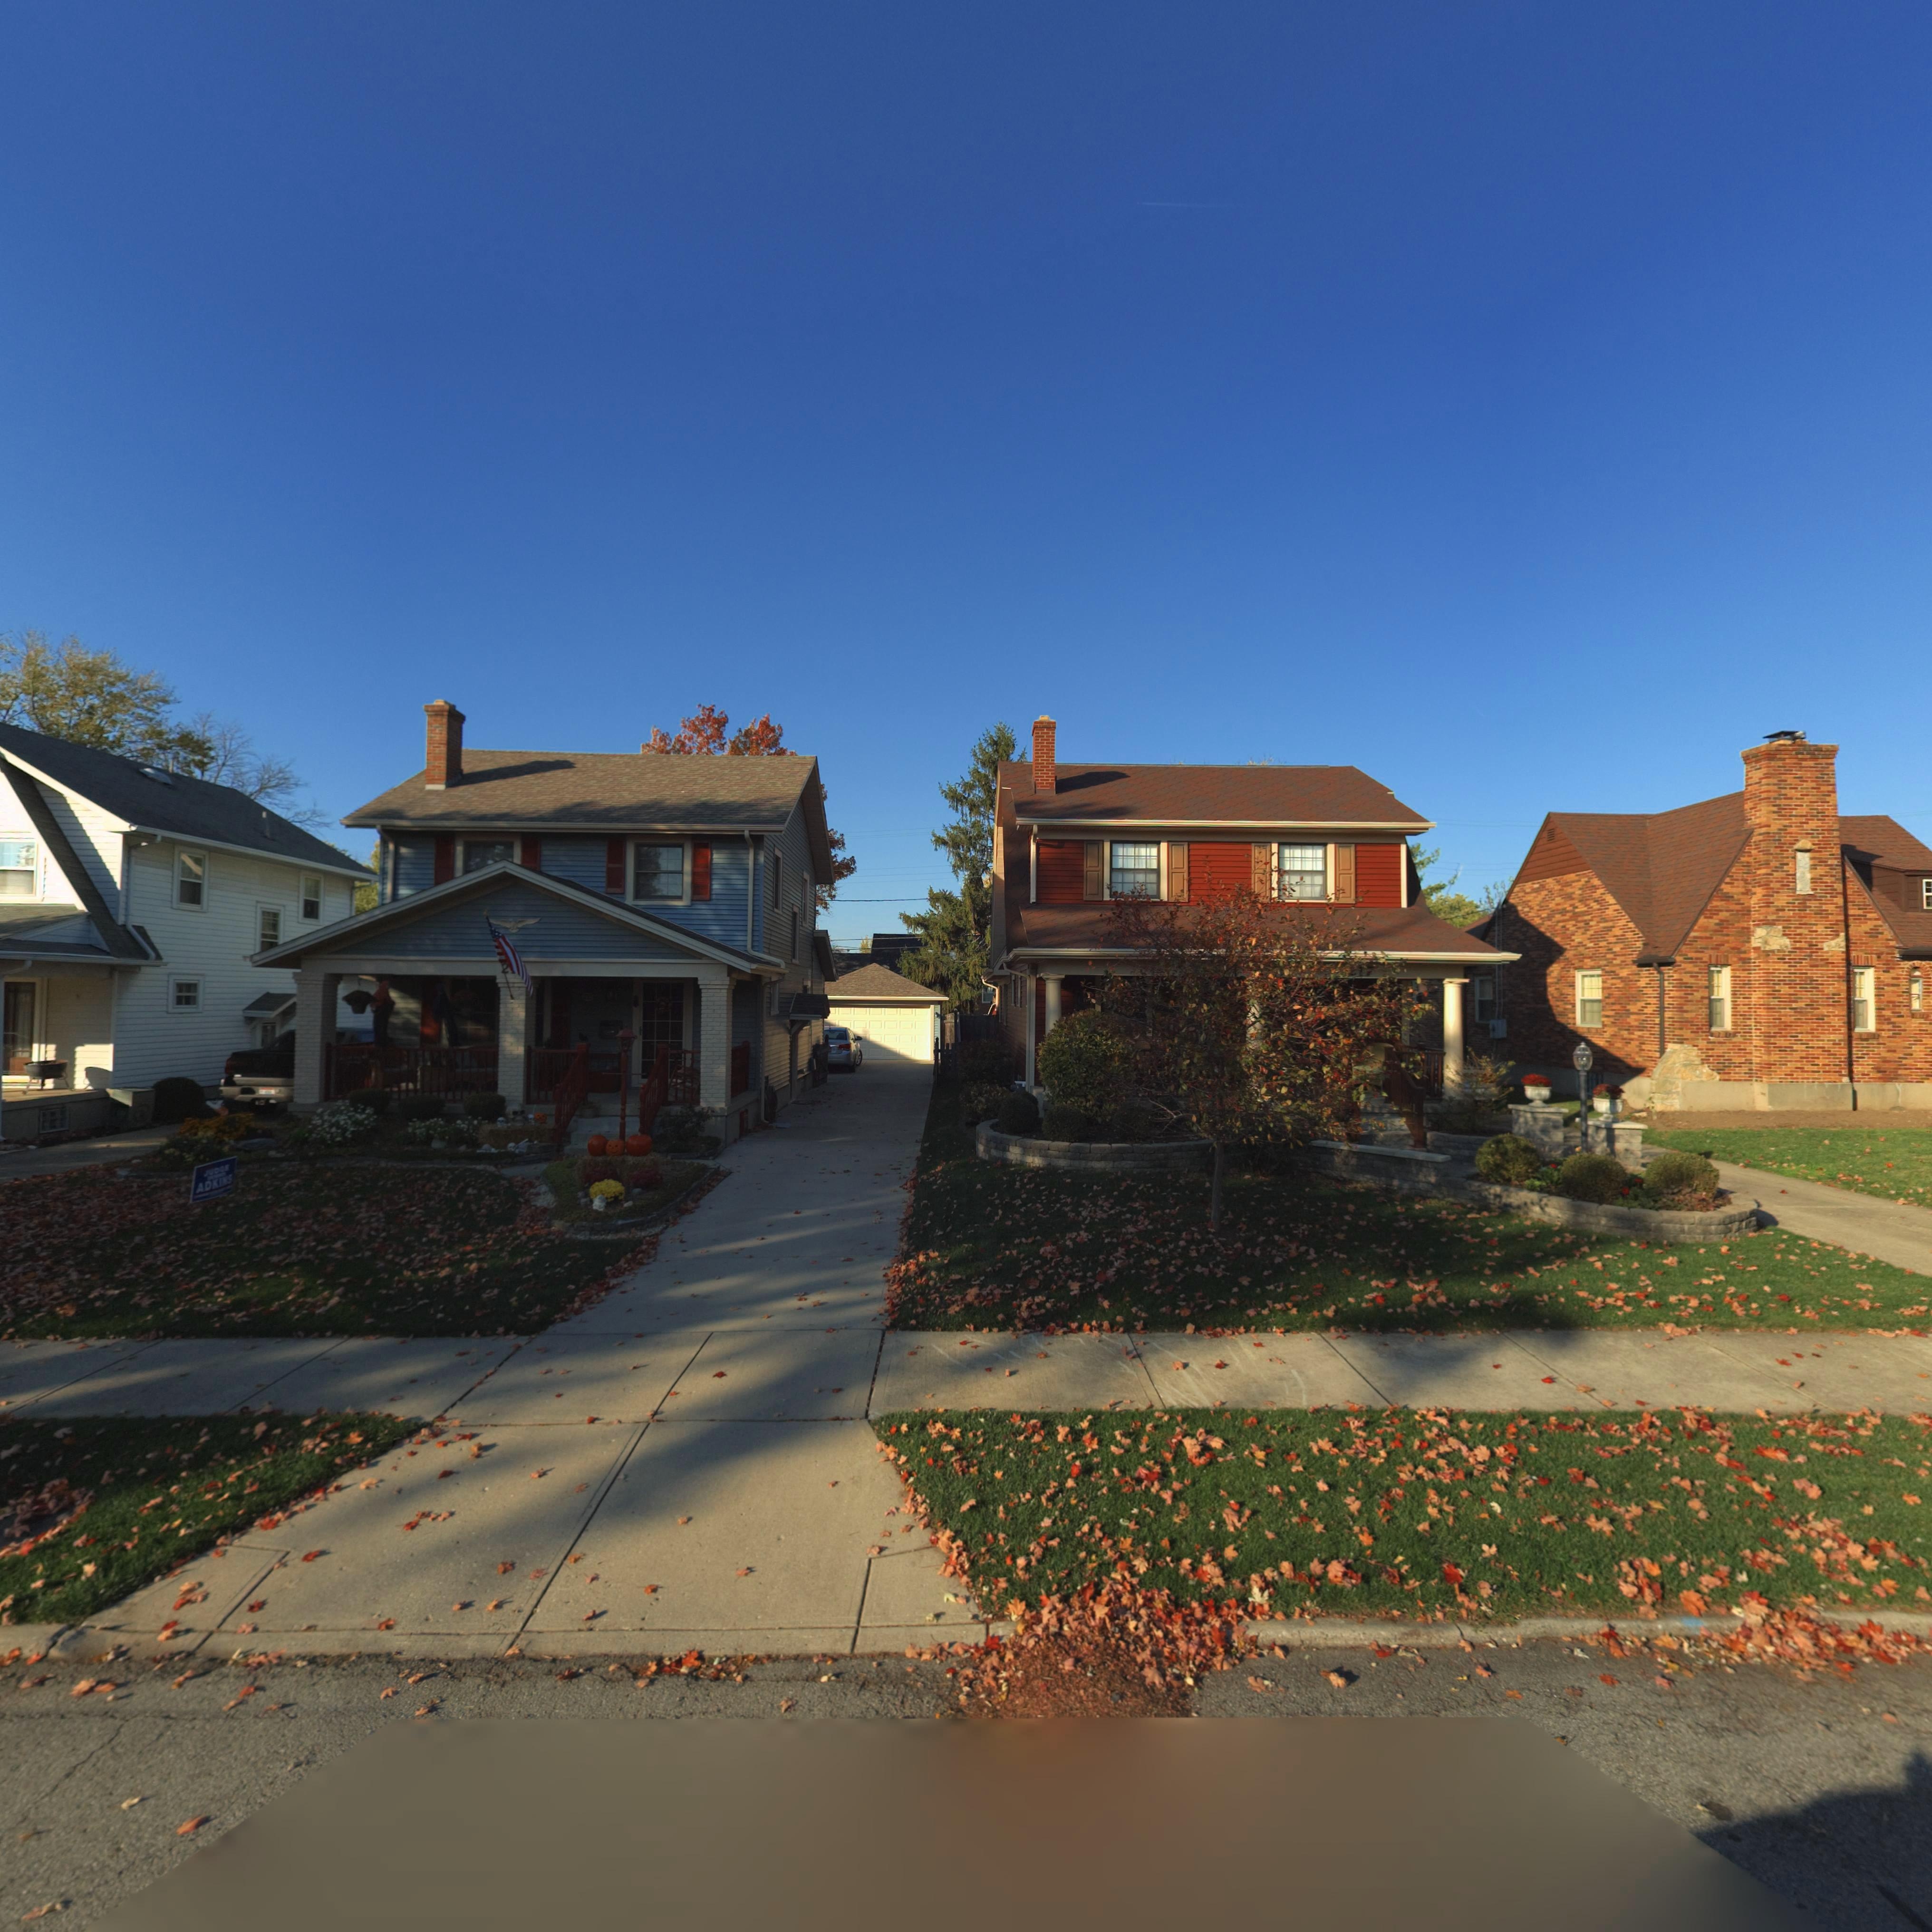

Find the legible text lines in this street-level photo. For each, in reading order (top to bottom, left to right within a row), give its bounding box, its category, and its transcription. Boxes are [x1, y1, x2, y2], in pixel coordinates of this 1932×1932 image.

[501, 962, 527, 976] StreetNumber: 2**
[1347, 964, 1376, 977] StreetNumber: *17
[581, 993, 594, 1000] StreetNumber: **3